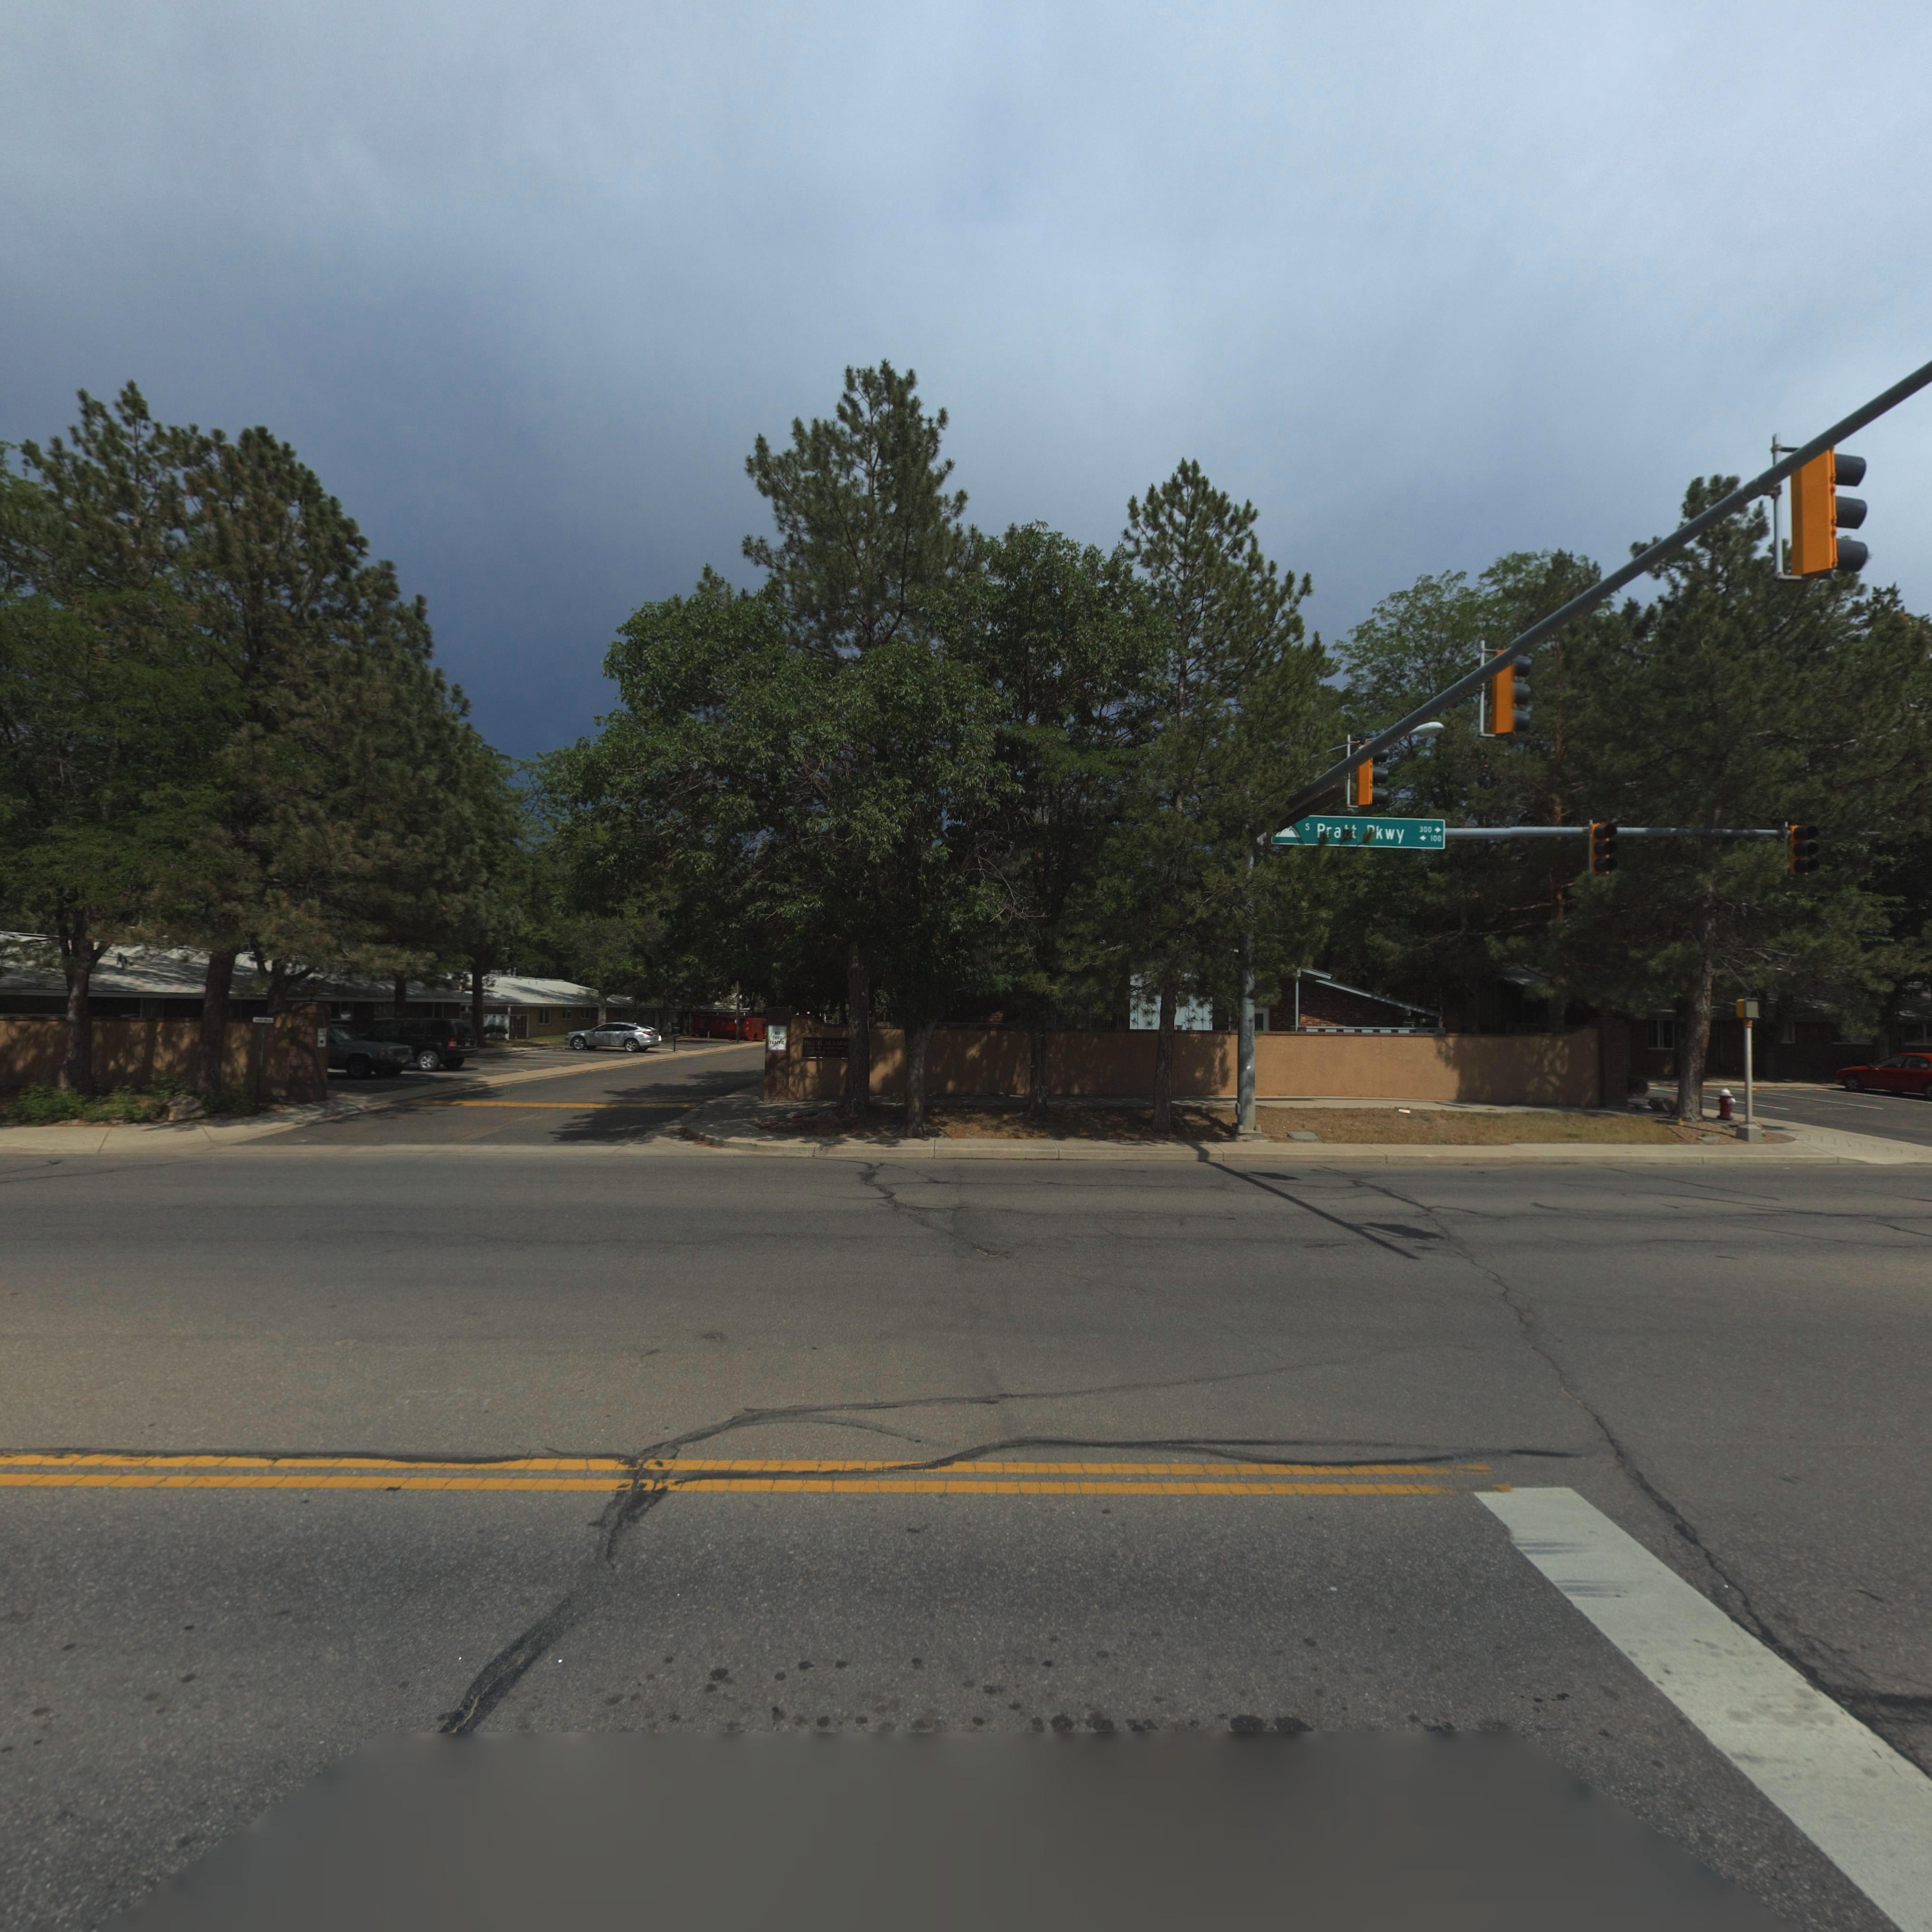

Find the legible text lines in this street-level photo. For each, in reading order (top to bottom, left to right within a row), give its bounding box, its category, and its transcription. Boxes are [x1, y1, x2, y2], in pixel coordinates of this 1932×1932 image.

[1304, 822, 1405, 844] StreetName: S Pra*t *kwy
[1419, 825, 1441, 833] StreetNumberRange: 300 ->
[1419, 834, 1442, 842] StreetNumberRange: <- 100
[802, 1027, 818, 1033] StreetNumber: 200